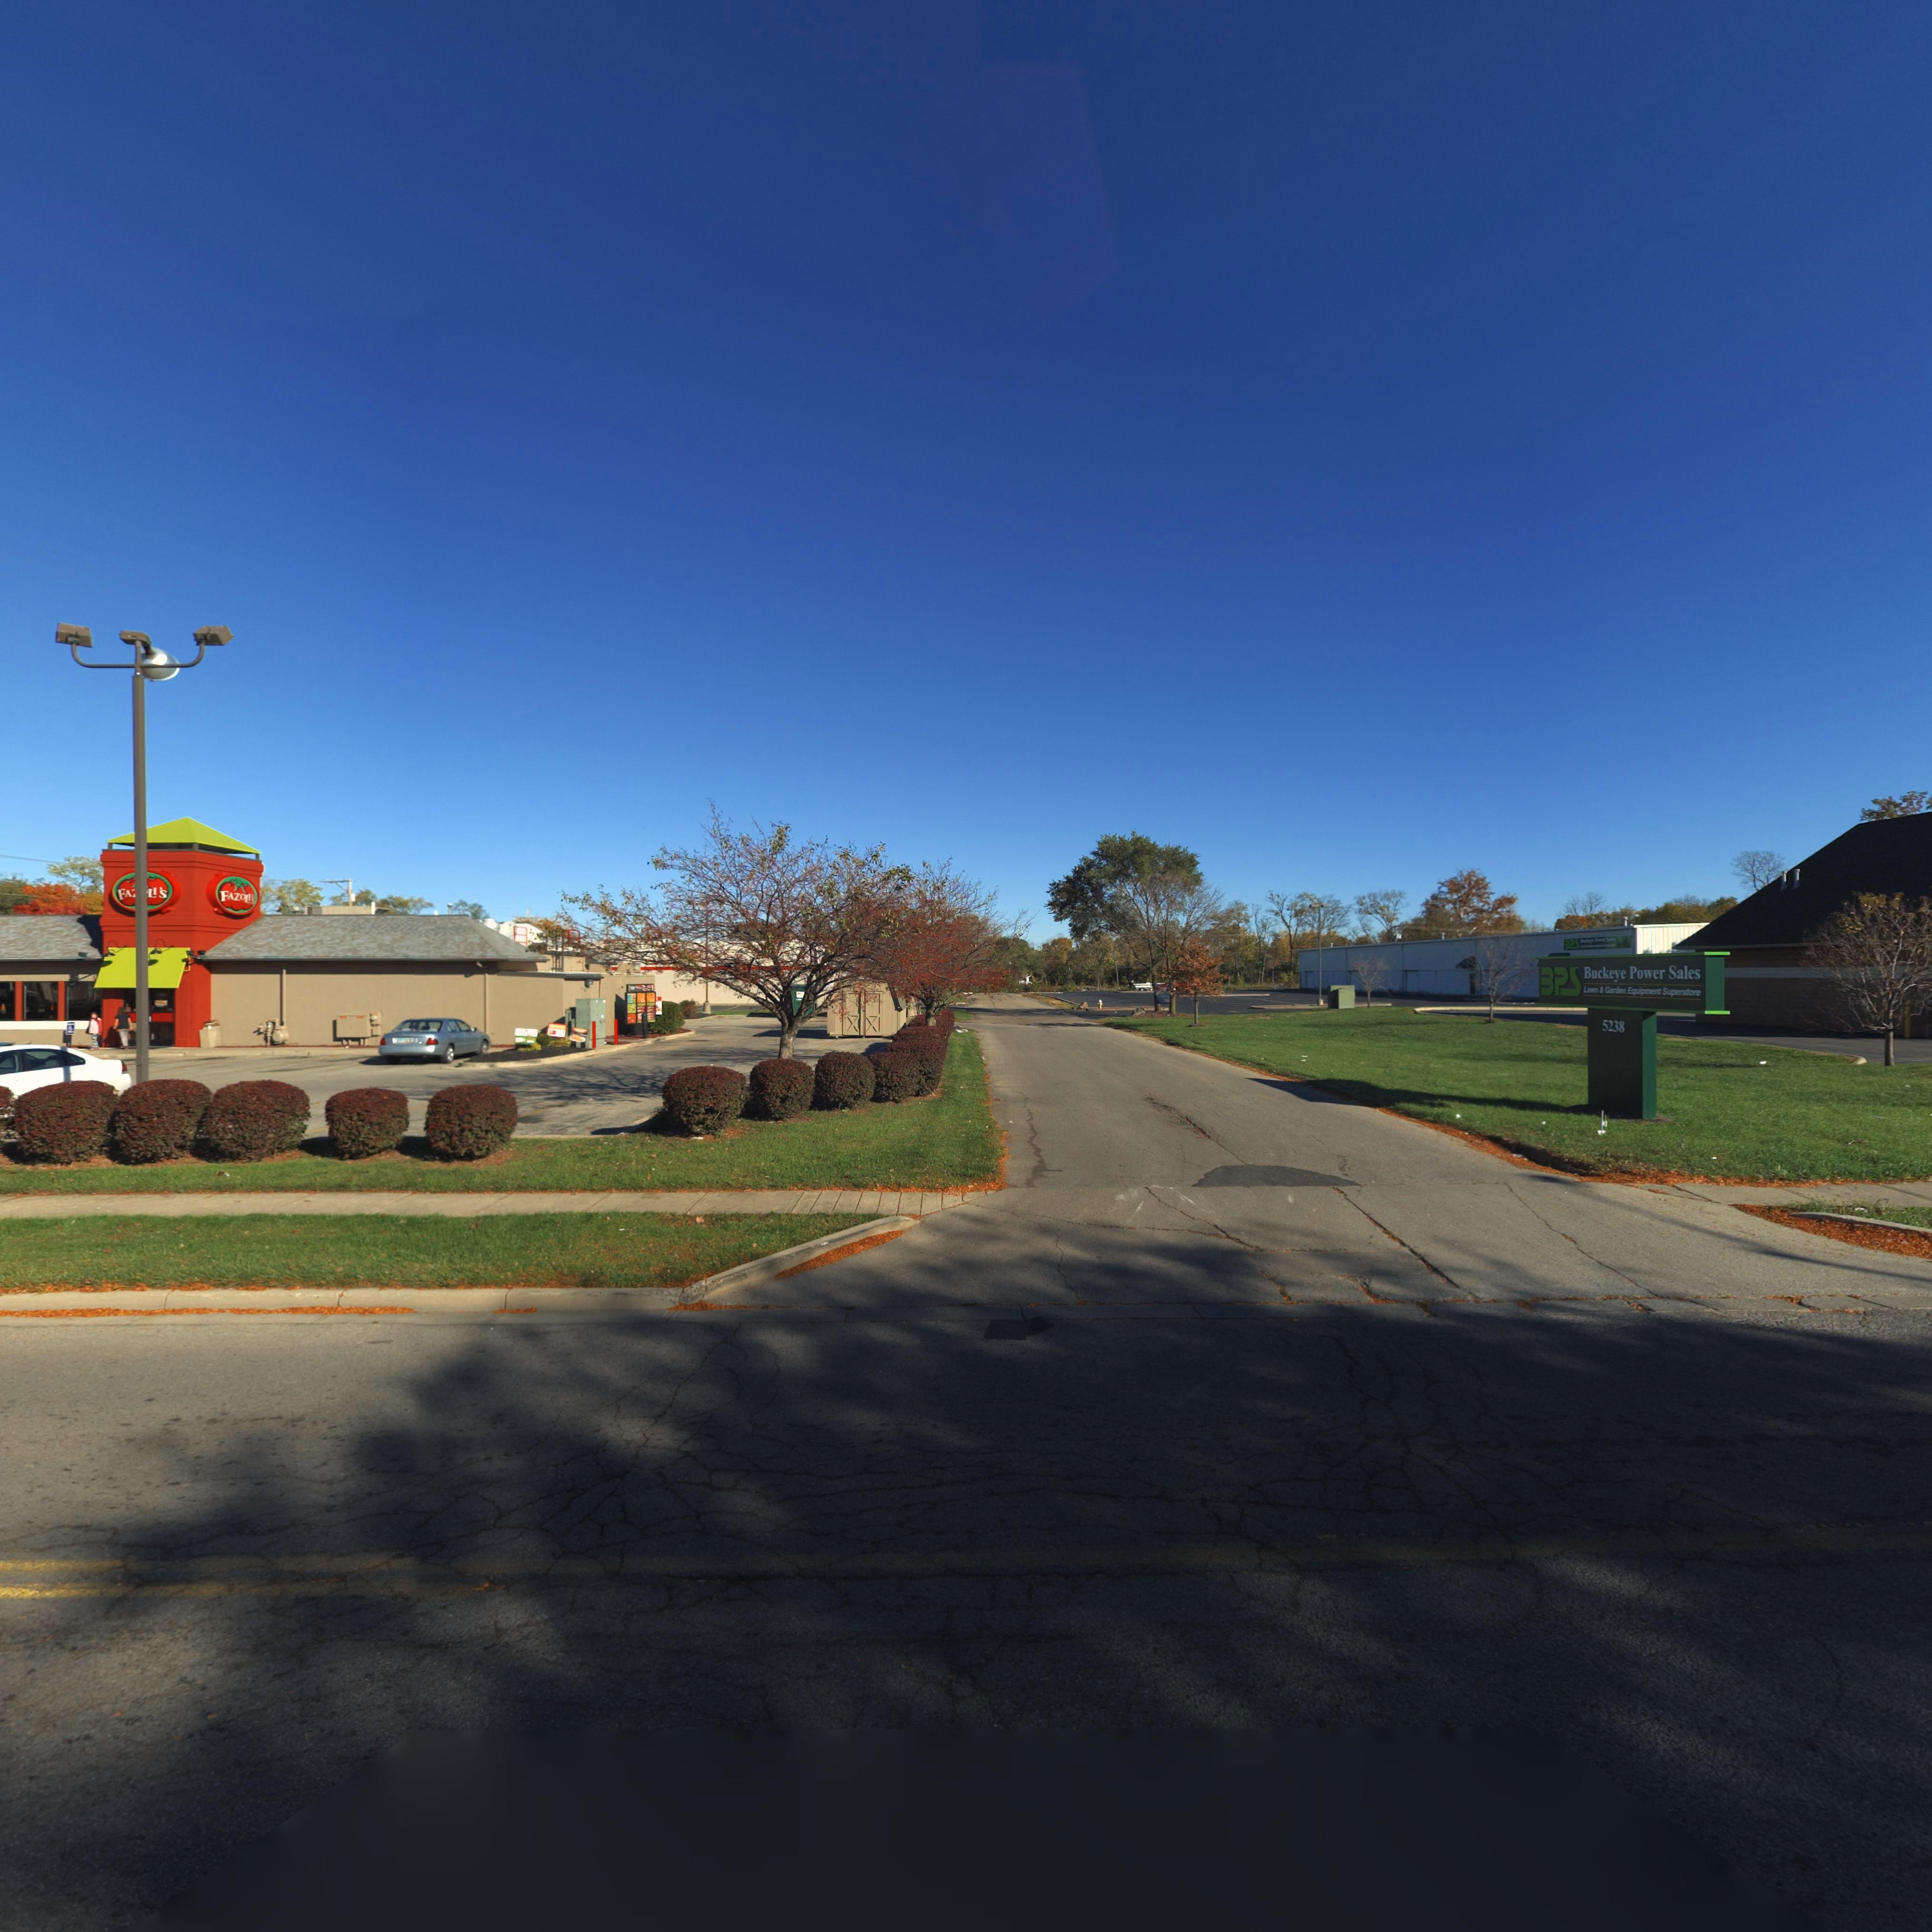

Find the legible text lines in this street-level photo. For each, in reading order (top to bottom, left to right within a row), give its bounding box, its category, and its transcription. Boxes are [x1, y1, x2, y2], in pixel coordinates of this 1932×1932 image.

[1602, 1018, 1626, 1034] StreetNumber: 5238